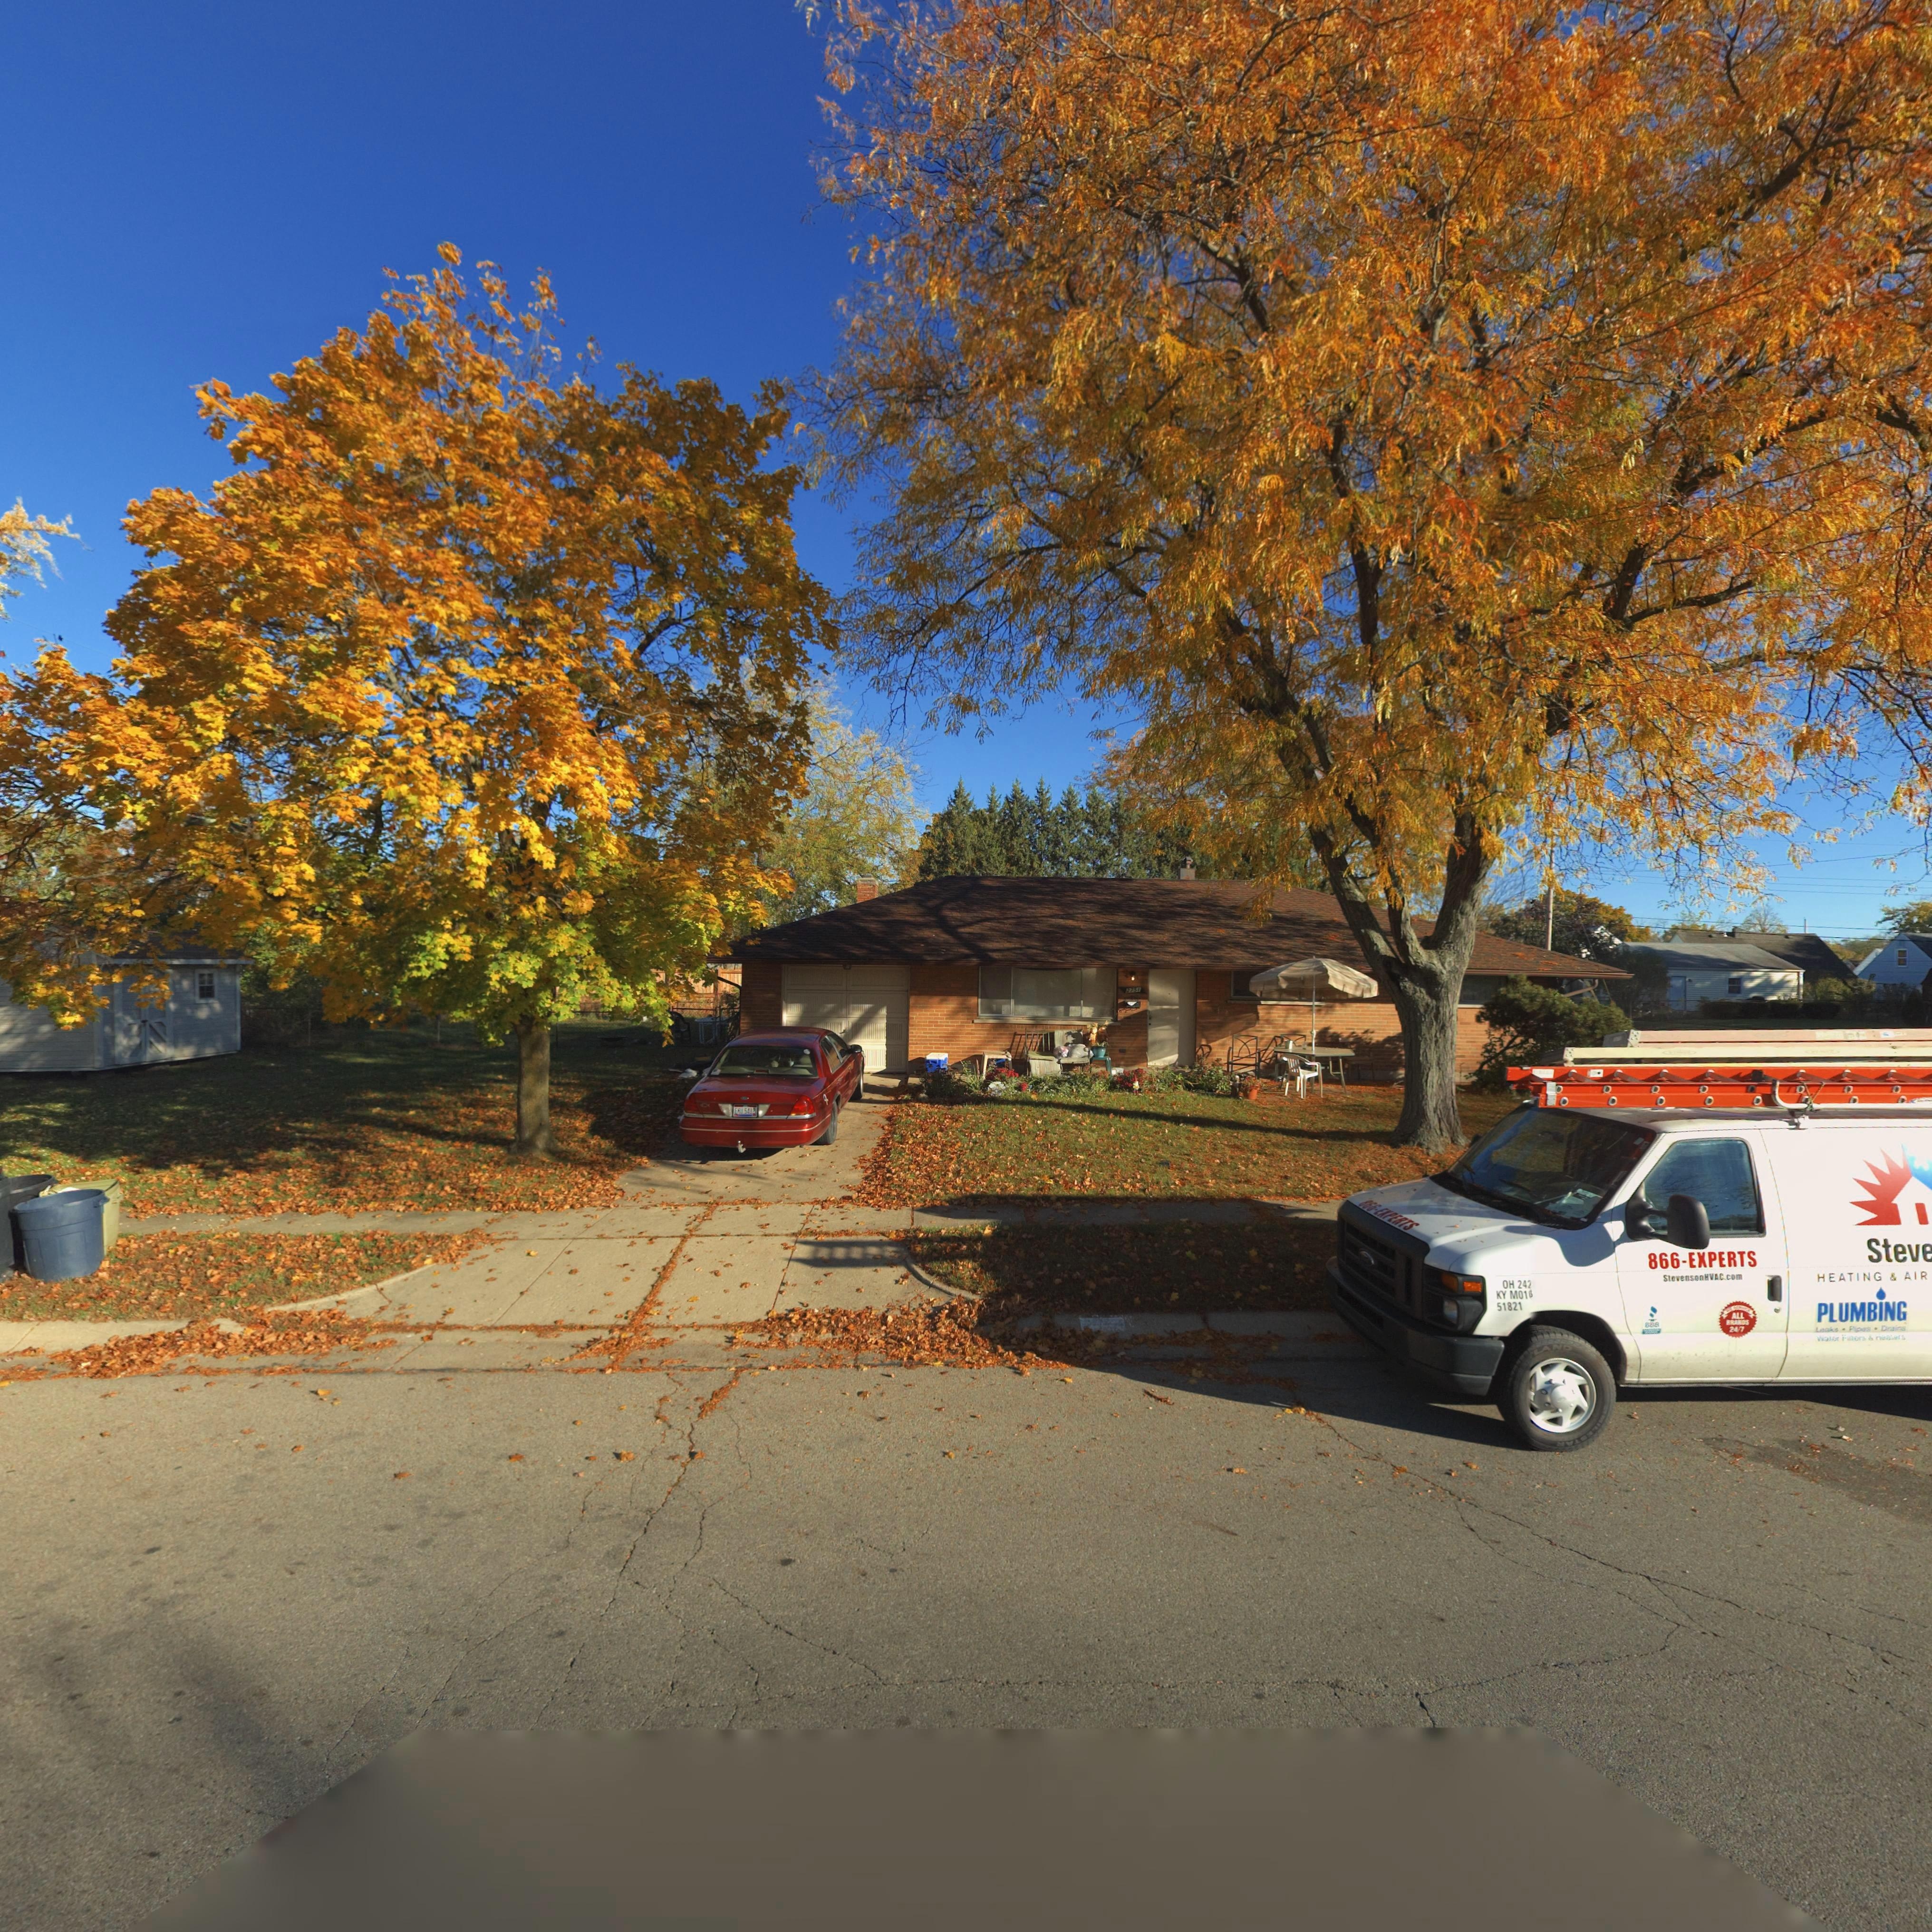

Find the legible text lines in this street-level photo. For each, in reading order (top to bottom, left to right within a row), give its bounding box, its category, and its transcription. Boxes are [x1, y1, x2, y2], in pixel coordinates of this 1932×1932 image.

[1124, 986, 1142, 994] StreetNumber: 2751